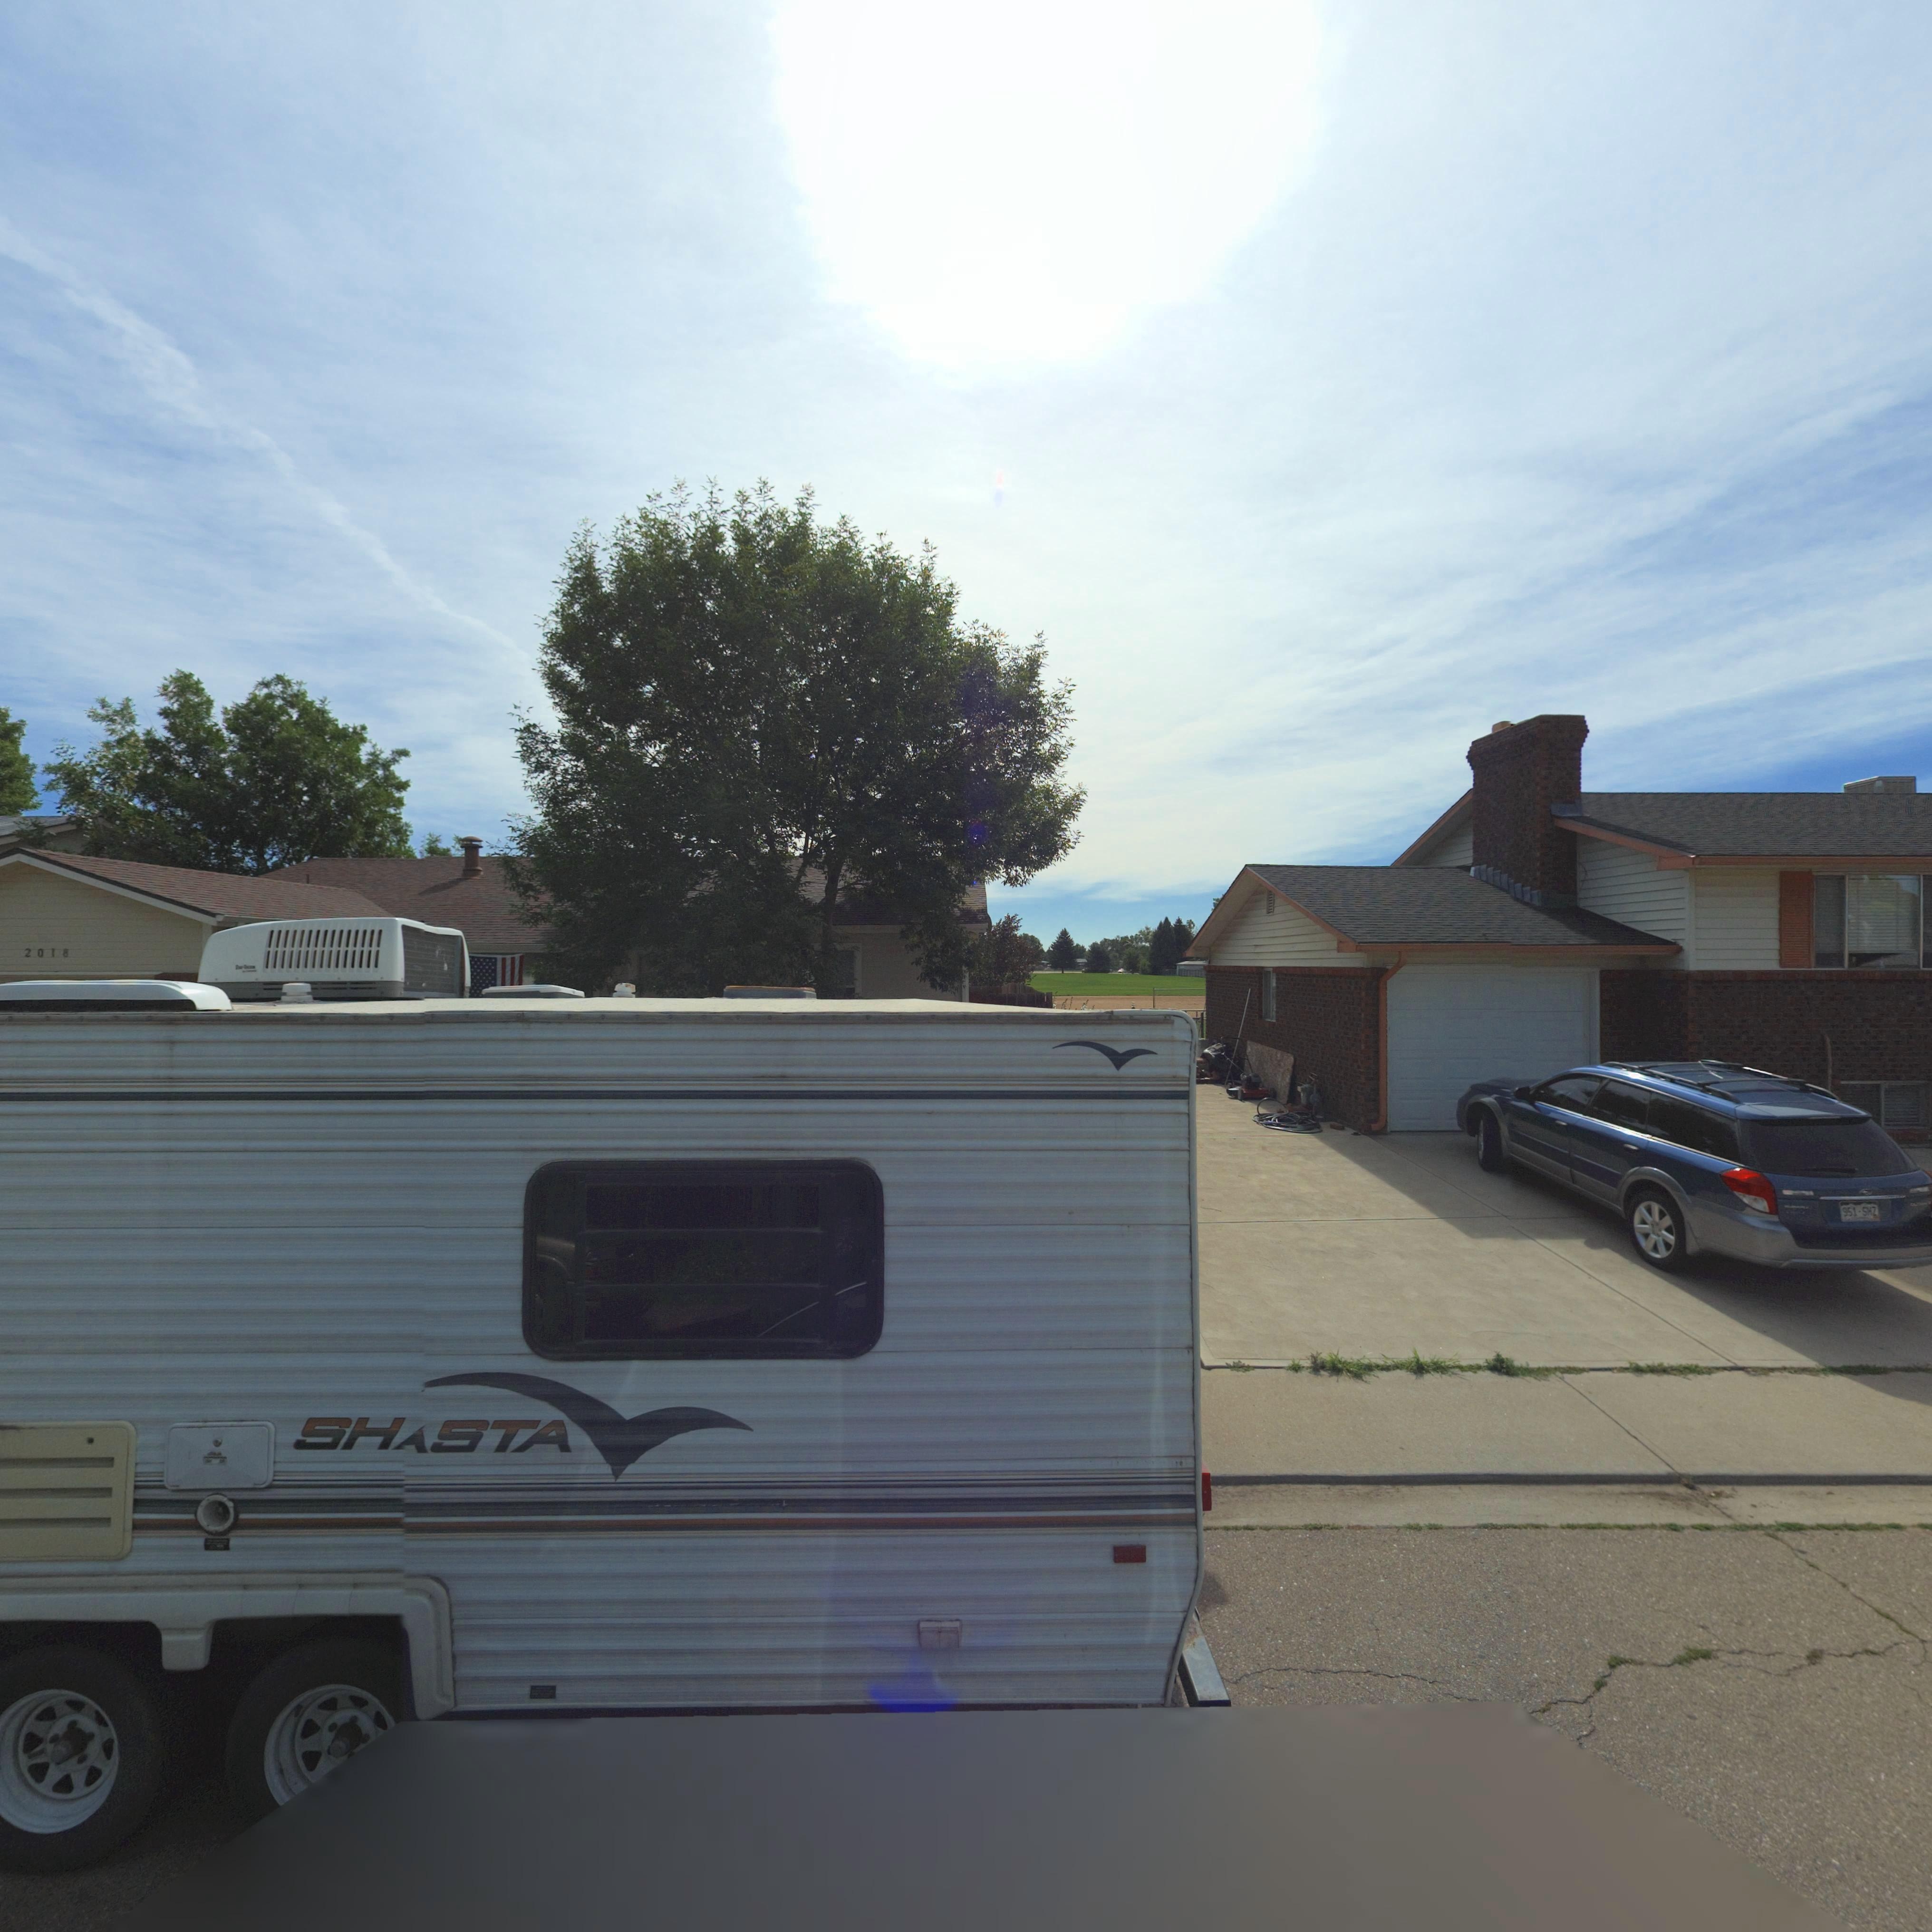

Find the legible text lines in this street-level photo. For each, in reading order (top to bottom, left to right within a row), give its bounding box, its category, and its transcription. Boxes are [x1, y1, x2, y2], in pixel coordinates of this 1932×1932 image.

[24, 947, 69, 958] StreetNumber: 2018